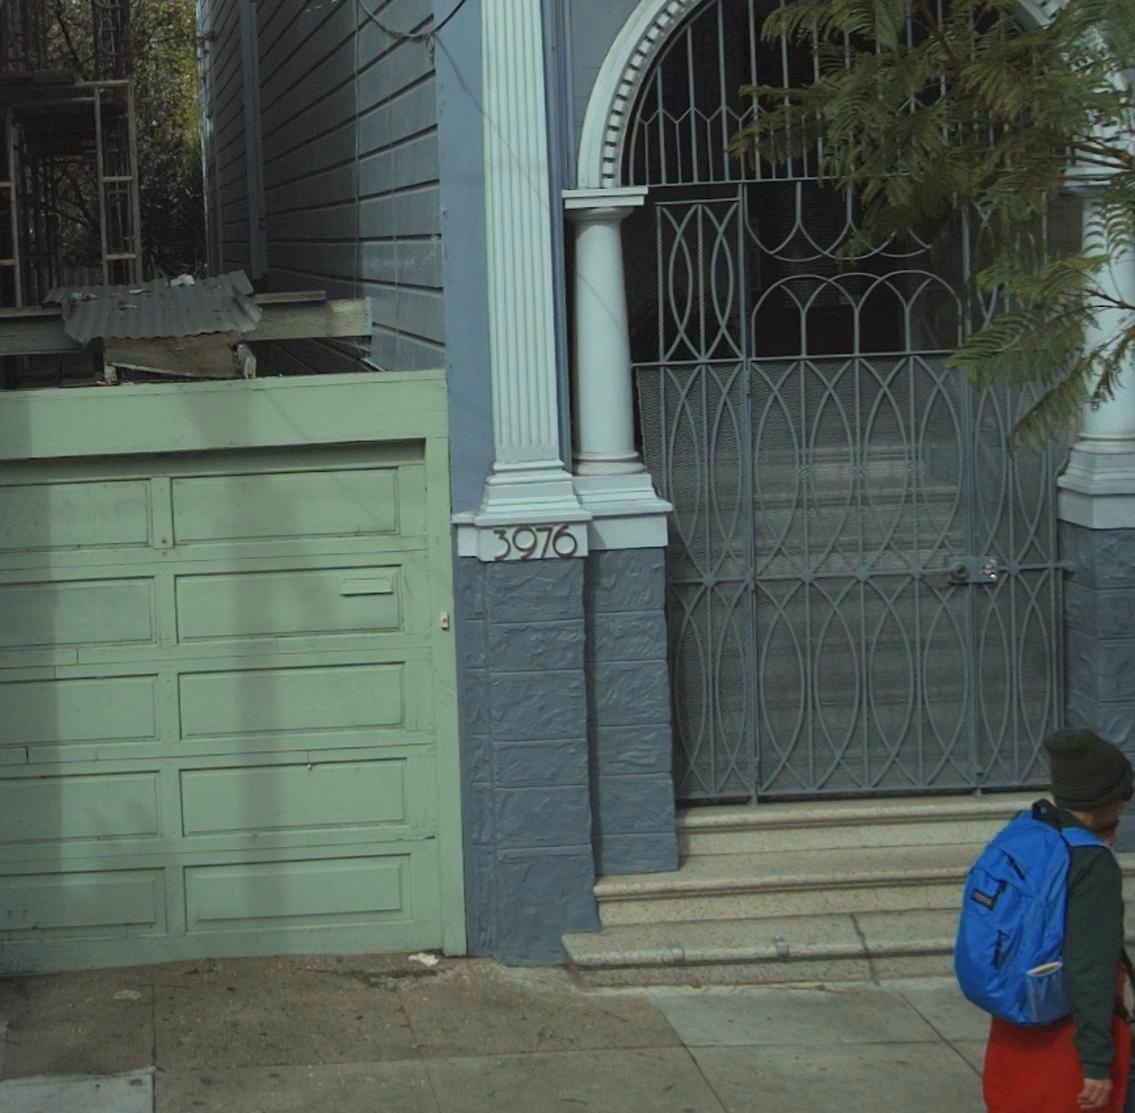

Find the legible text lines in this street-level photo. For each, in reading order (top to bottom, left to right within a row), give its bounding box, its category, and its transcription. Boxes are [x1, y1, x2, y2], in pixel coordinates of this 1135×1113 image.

[491, 523, 580, 562] StreetNumber: 3976